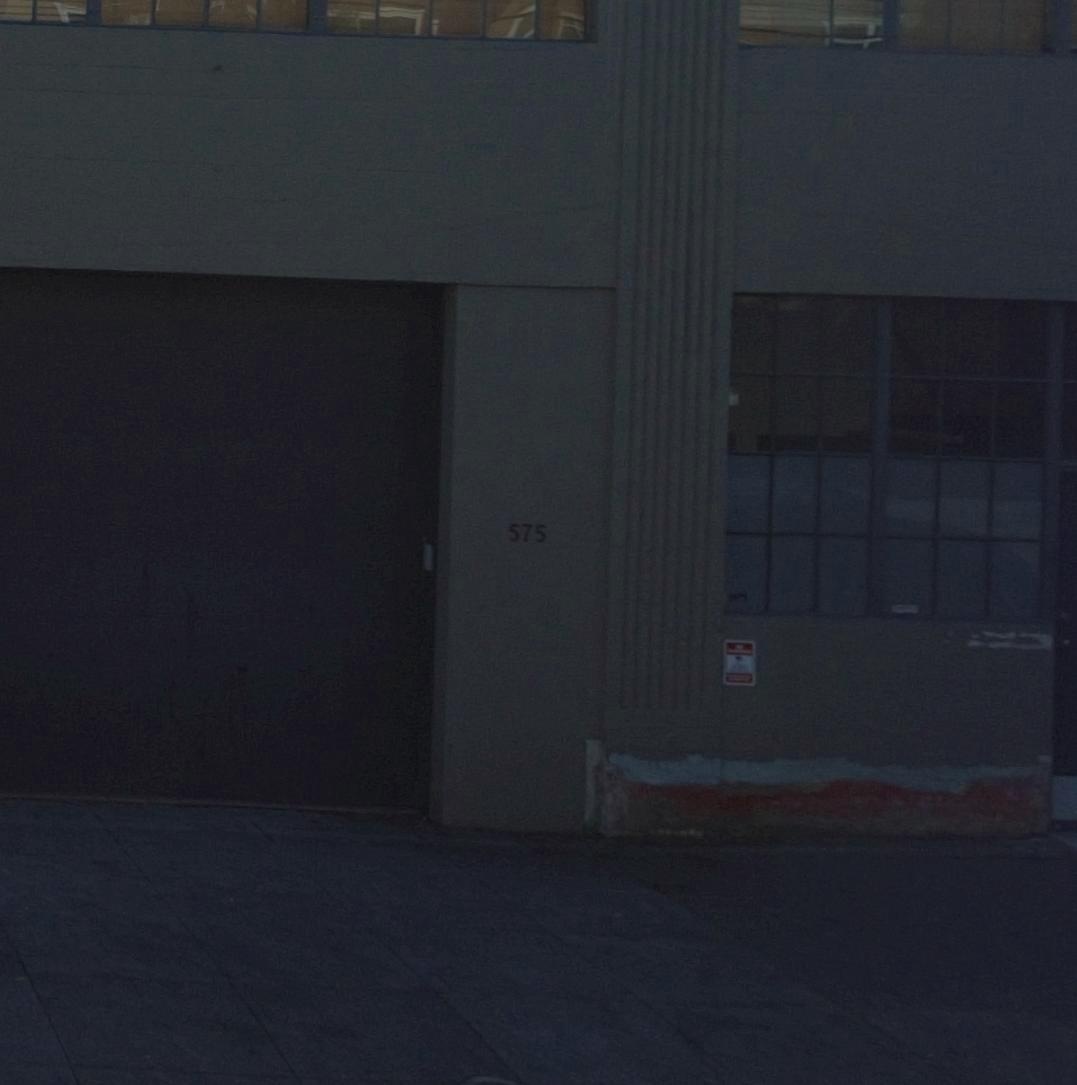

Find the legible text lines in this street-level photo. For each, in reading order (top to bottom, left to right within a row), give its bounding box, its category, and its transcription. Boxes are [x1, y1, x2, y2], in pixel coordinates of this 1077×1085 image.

[507, 522, 547, 543] StreetNumber: 575